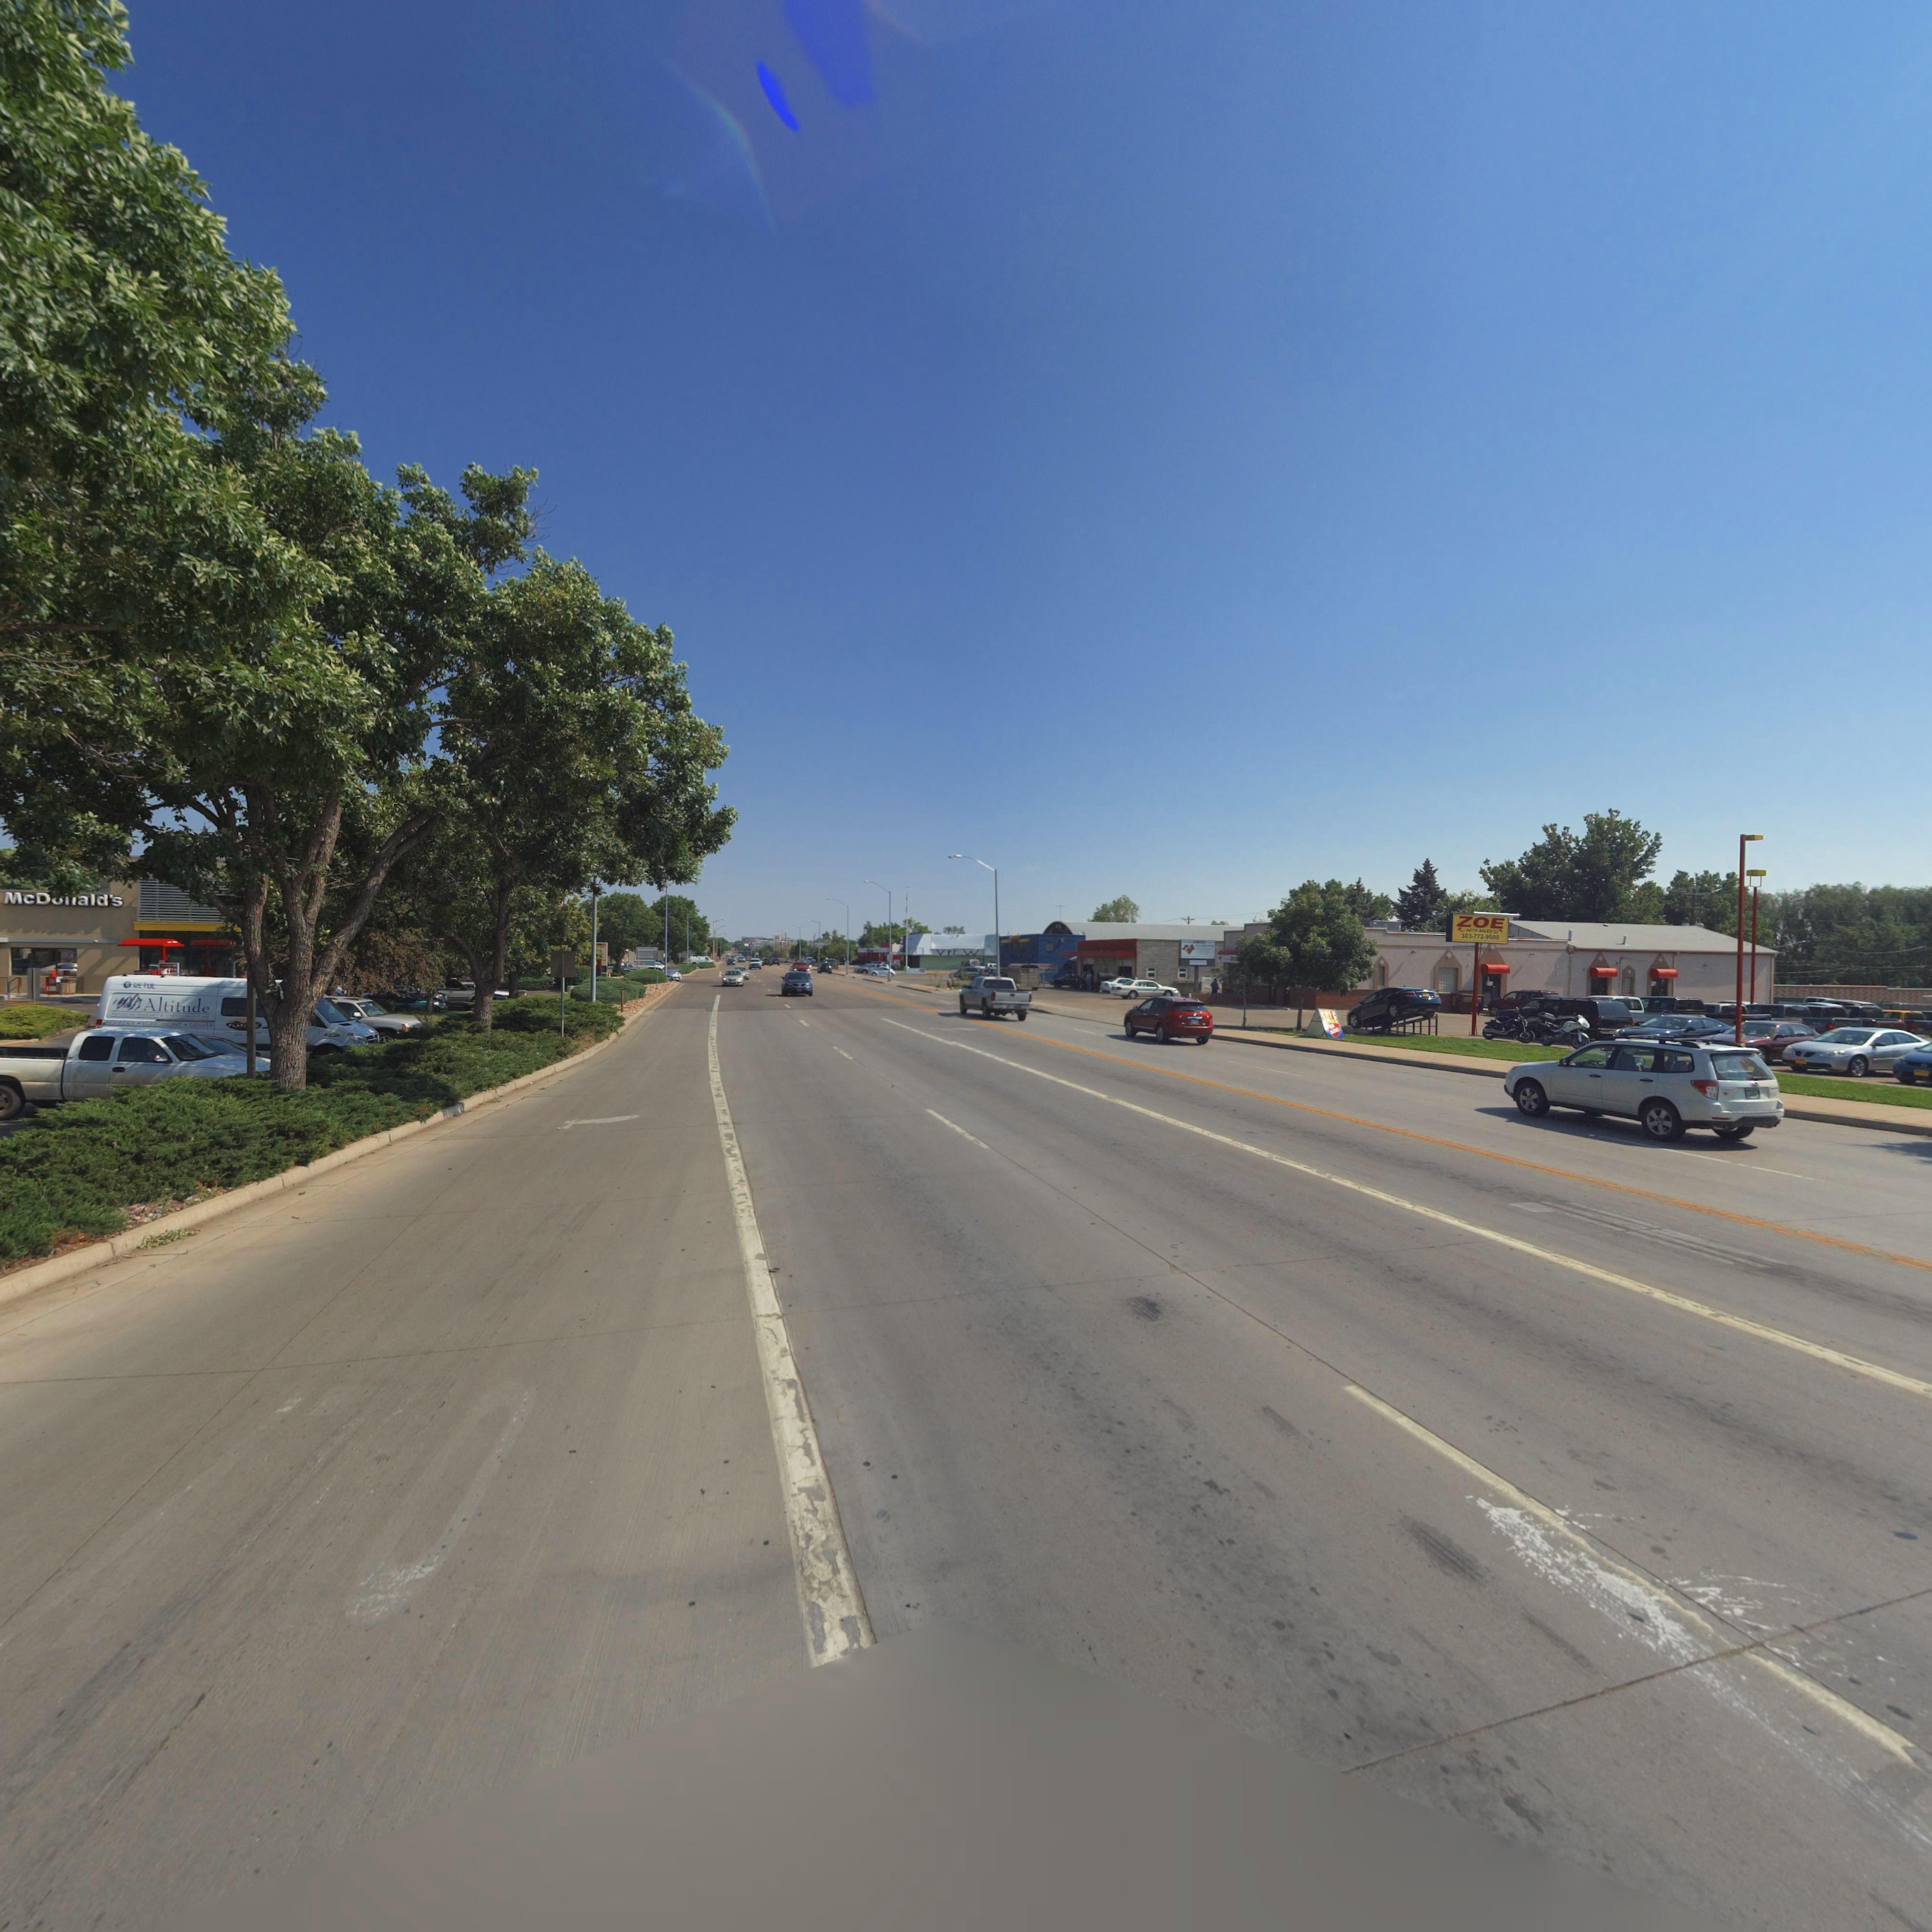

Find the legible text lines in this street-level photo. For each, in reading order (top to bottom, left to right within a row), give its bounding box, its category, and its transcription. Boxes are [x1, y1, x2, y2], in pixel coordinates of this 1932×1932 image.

[3, 891, 123, 908] BusinessName: McD**ald's
[1456, 915, 1505, 929] BusinessName: ZOE
[1465, 927, 1492, 933] BusinessName: AUTO SALES
[900, 936, 903, 948] BusinessName: VFW
[935, 948, 979, 956] BusinessName: VF*W